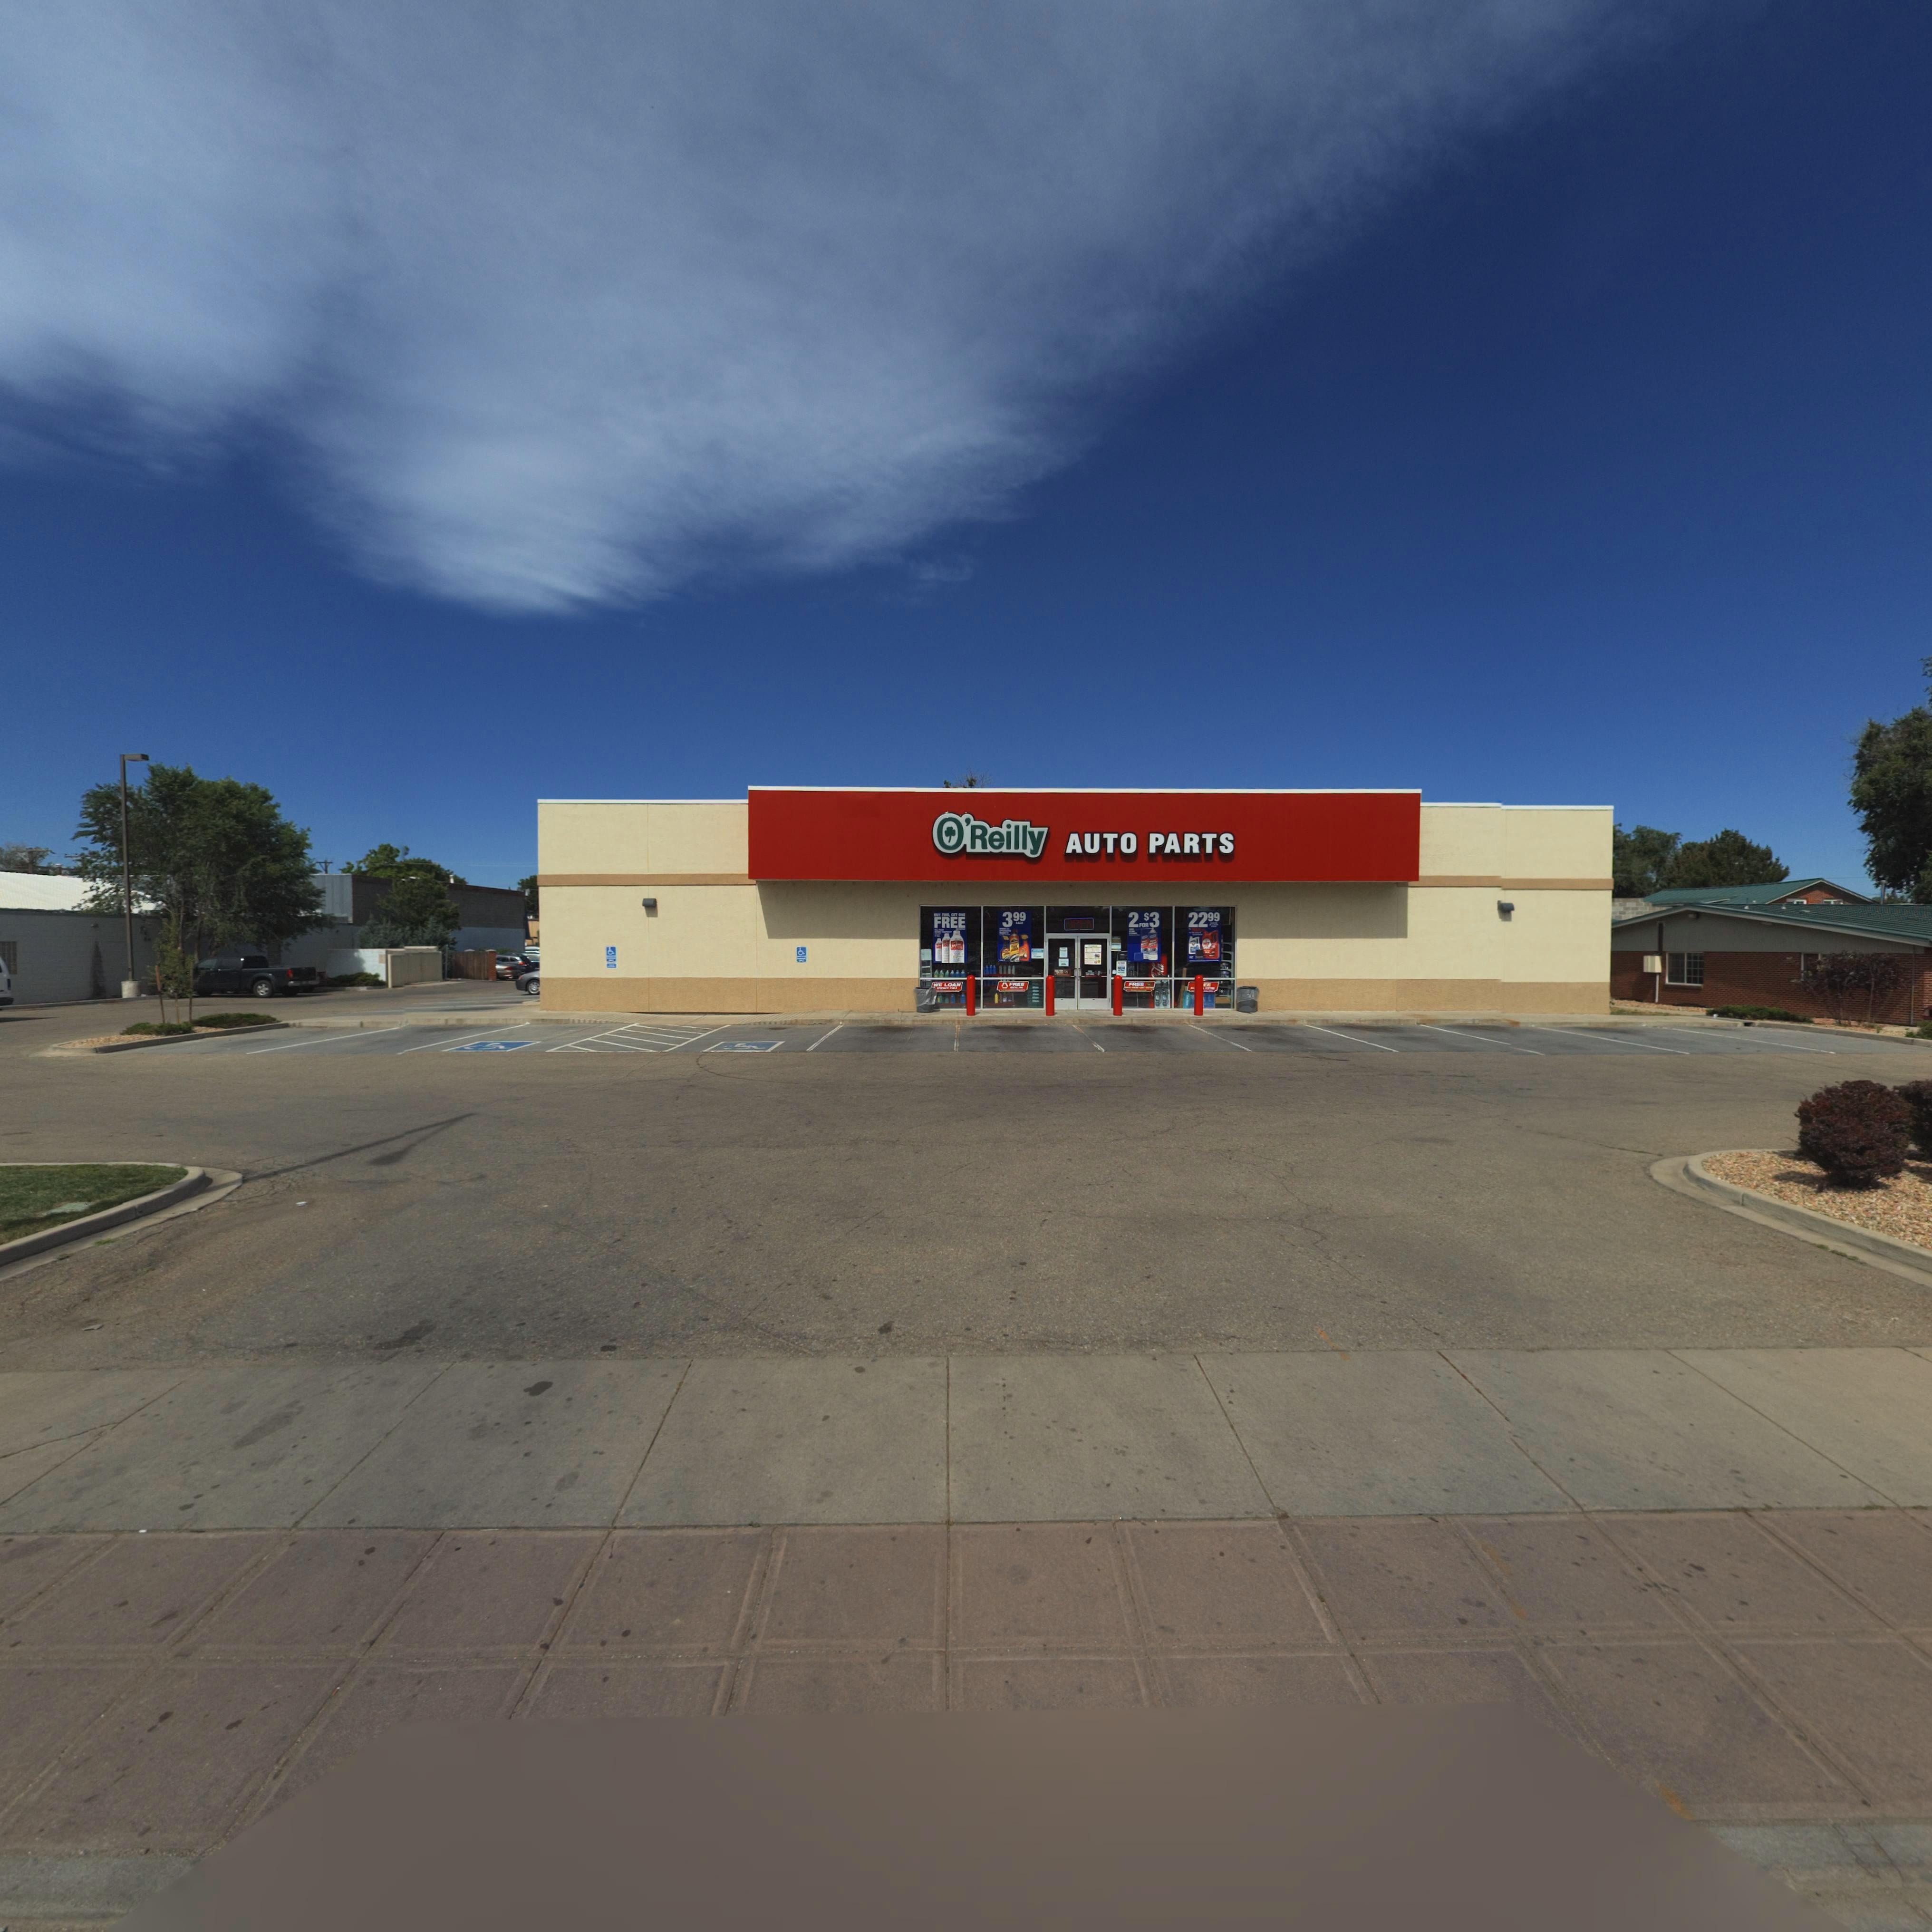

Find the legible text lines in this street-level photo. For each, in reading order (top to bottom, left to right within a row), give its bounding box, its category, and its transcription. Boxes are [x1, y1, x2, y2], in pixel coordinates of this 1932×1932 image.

[935, 815, 1236, 856] BusinessName: O'Reilly AUTO PARTS